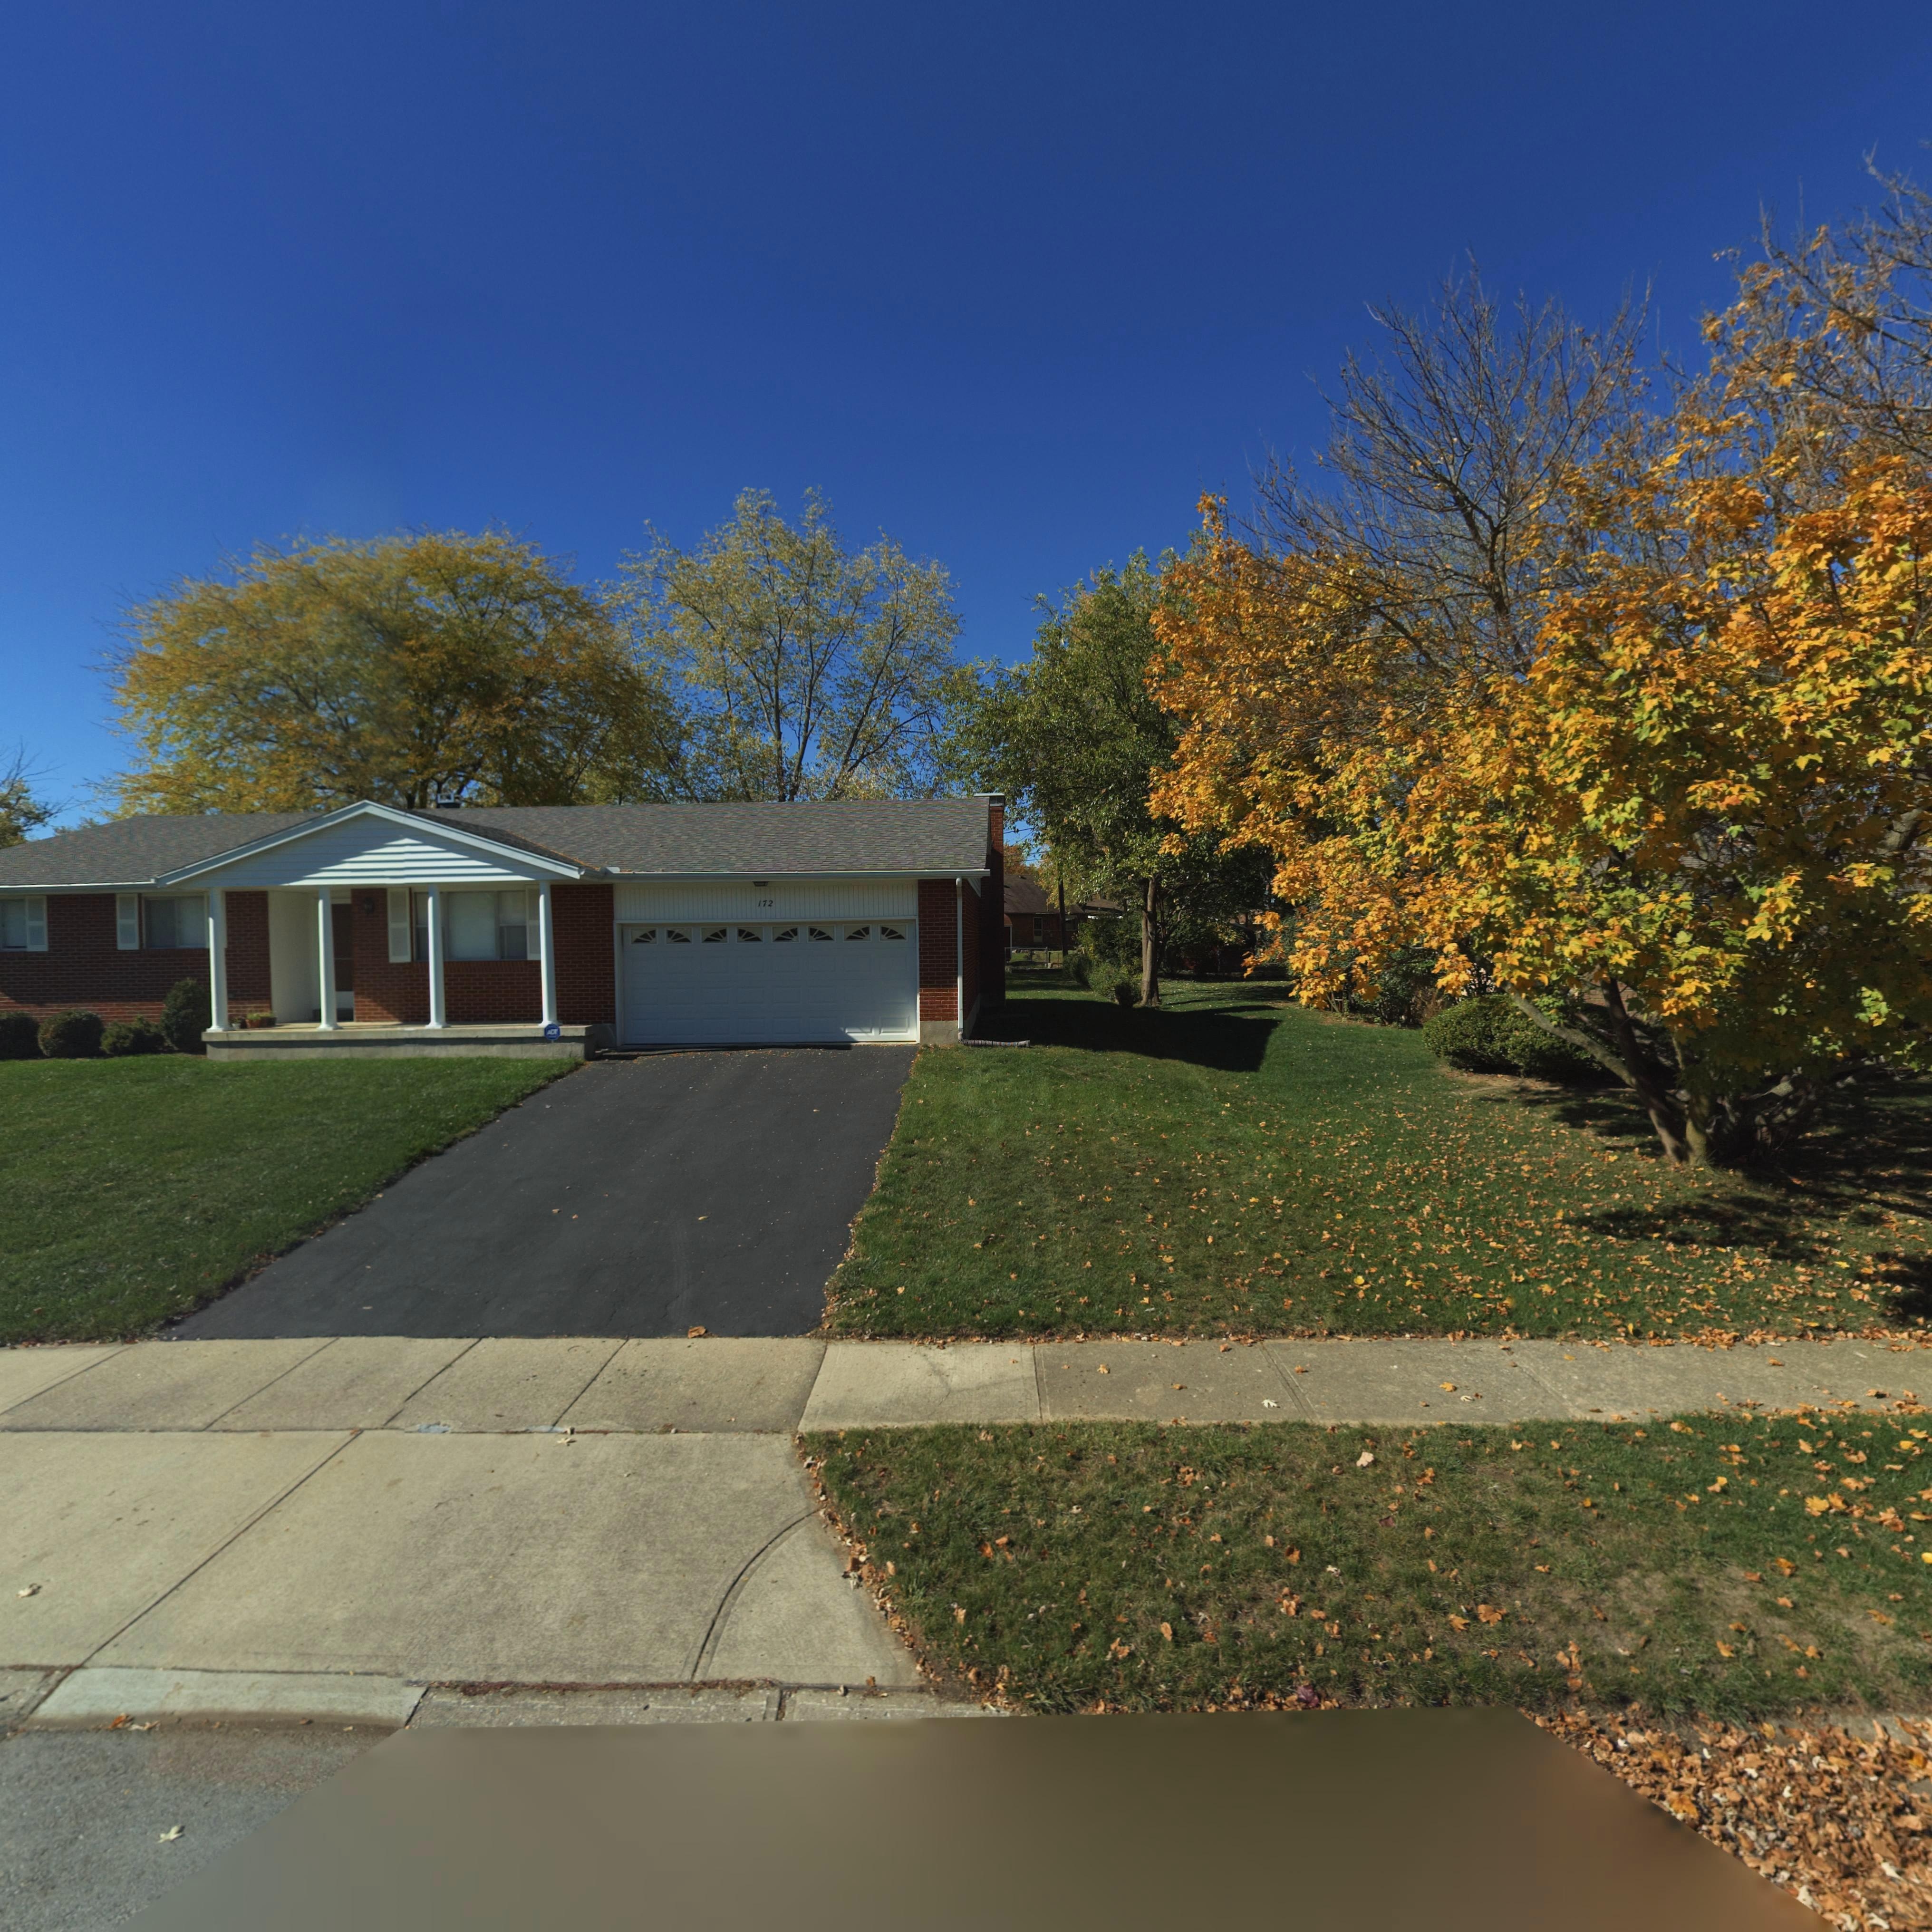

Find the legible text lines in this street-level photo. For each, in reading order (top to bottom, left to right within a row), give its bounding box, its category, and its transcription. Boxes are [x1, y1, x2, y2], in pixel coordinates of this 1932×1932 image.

[757, 899, 774, 908] StreetNumber: 172